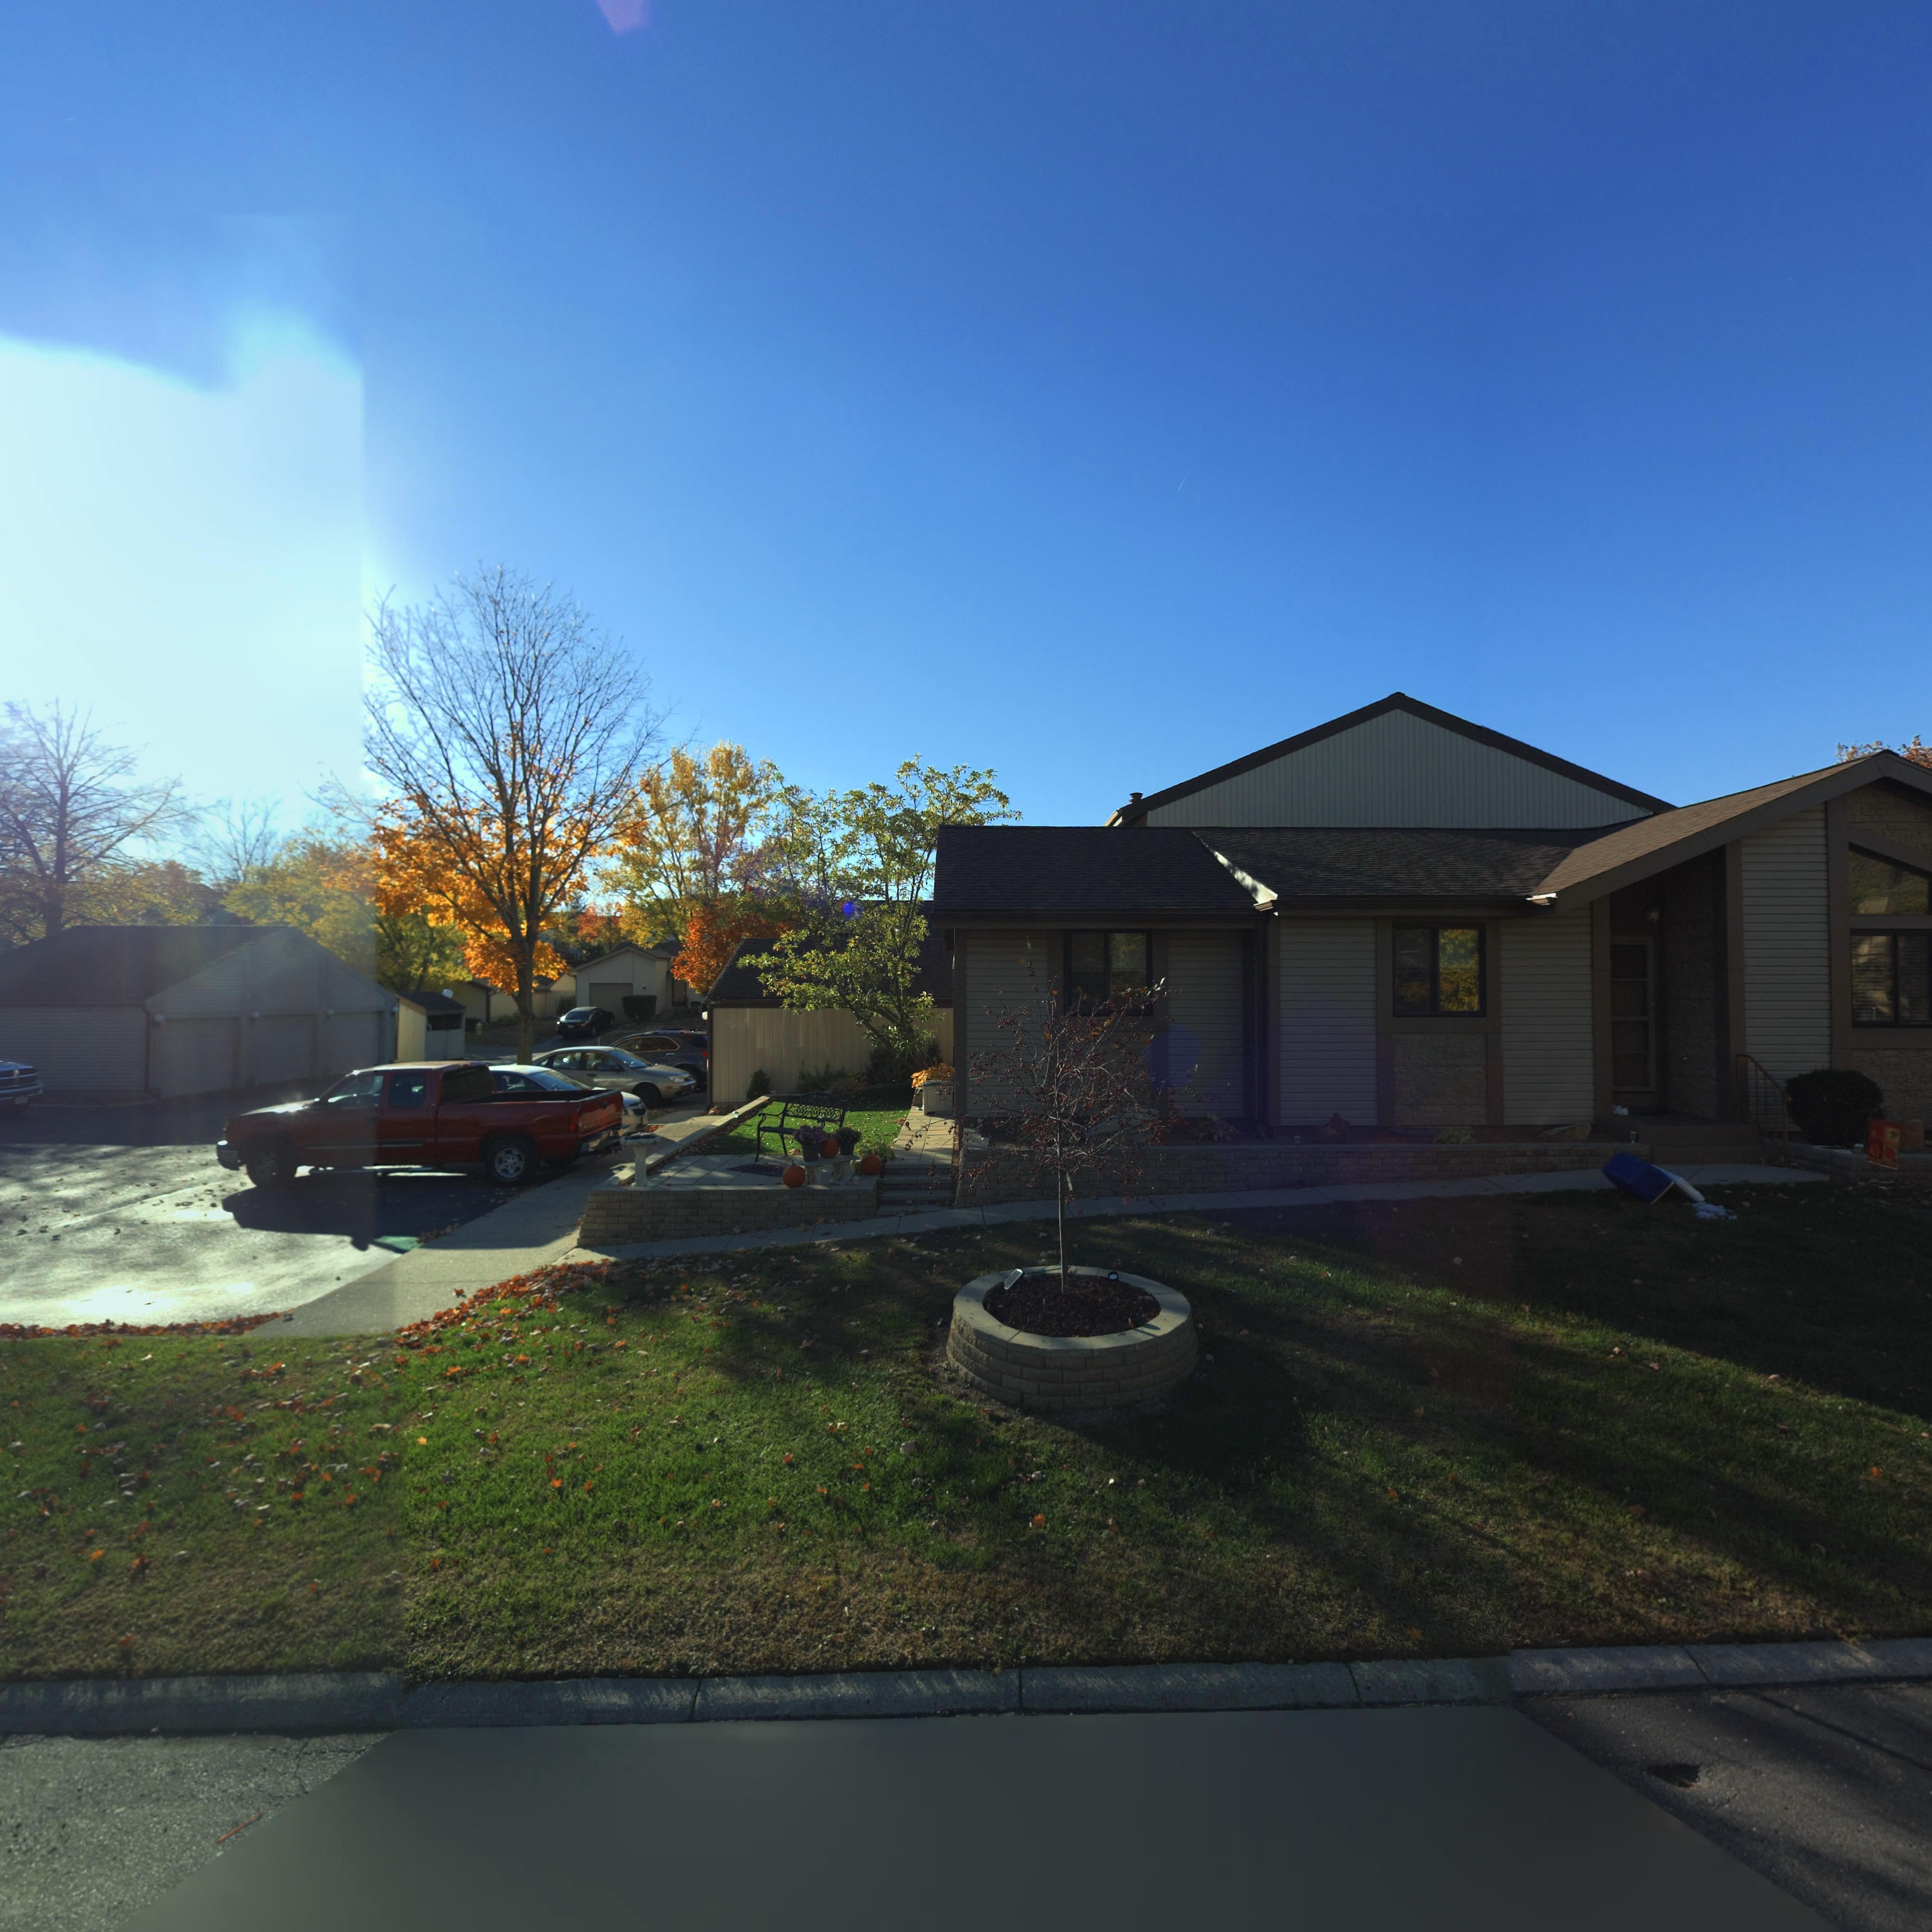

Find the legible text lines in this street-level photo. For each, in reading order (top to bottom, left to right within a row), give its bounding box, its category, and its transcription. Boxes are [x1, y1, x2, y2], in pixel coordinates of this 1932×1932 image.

[1612, 921, 1630, 932] StreetNumber: 100